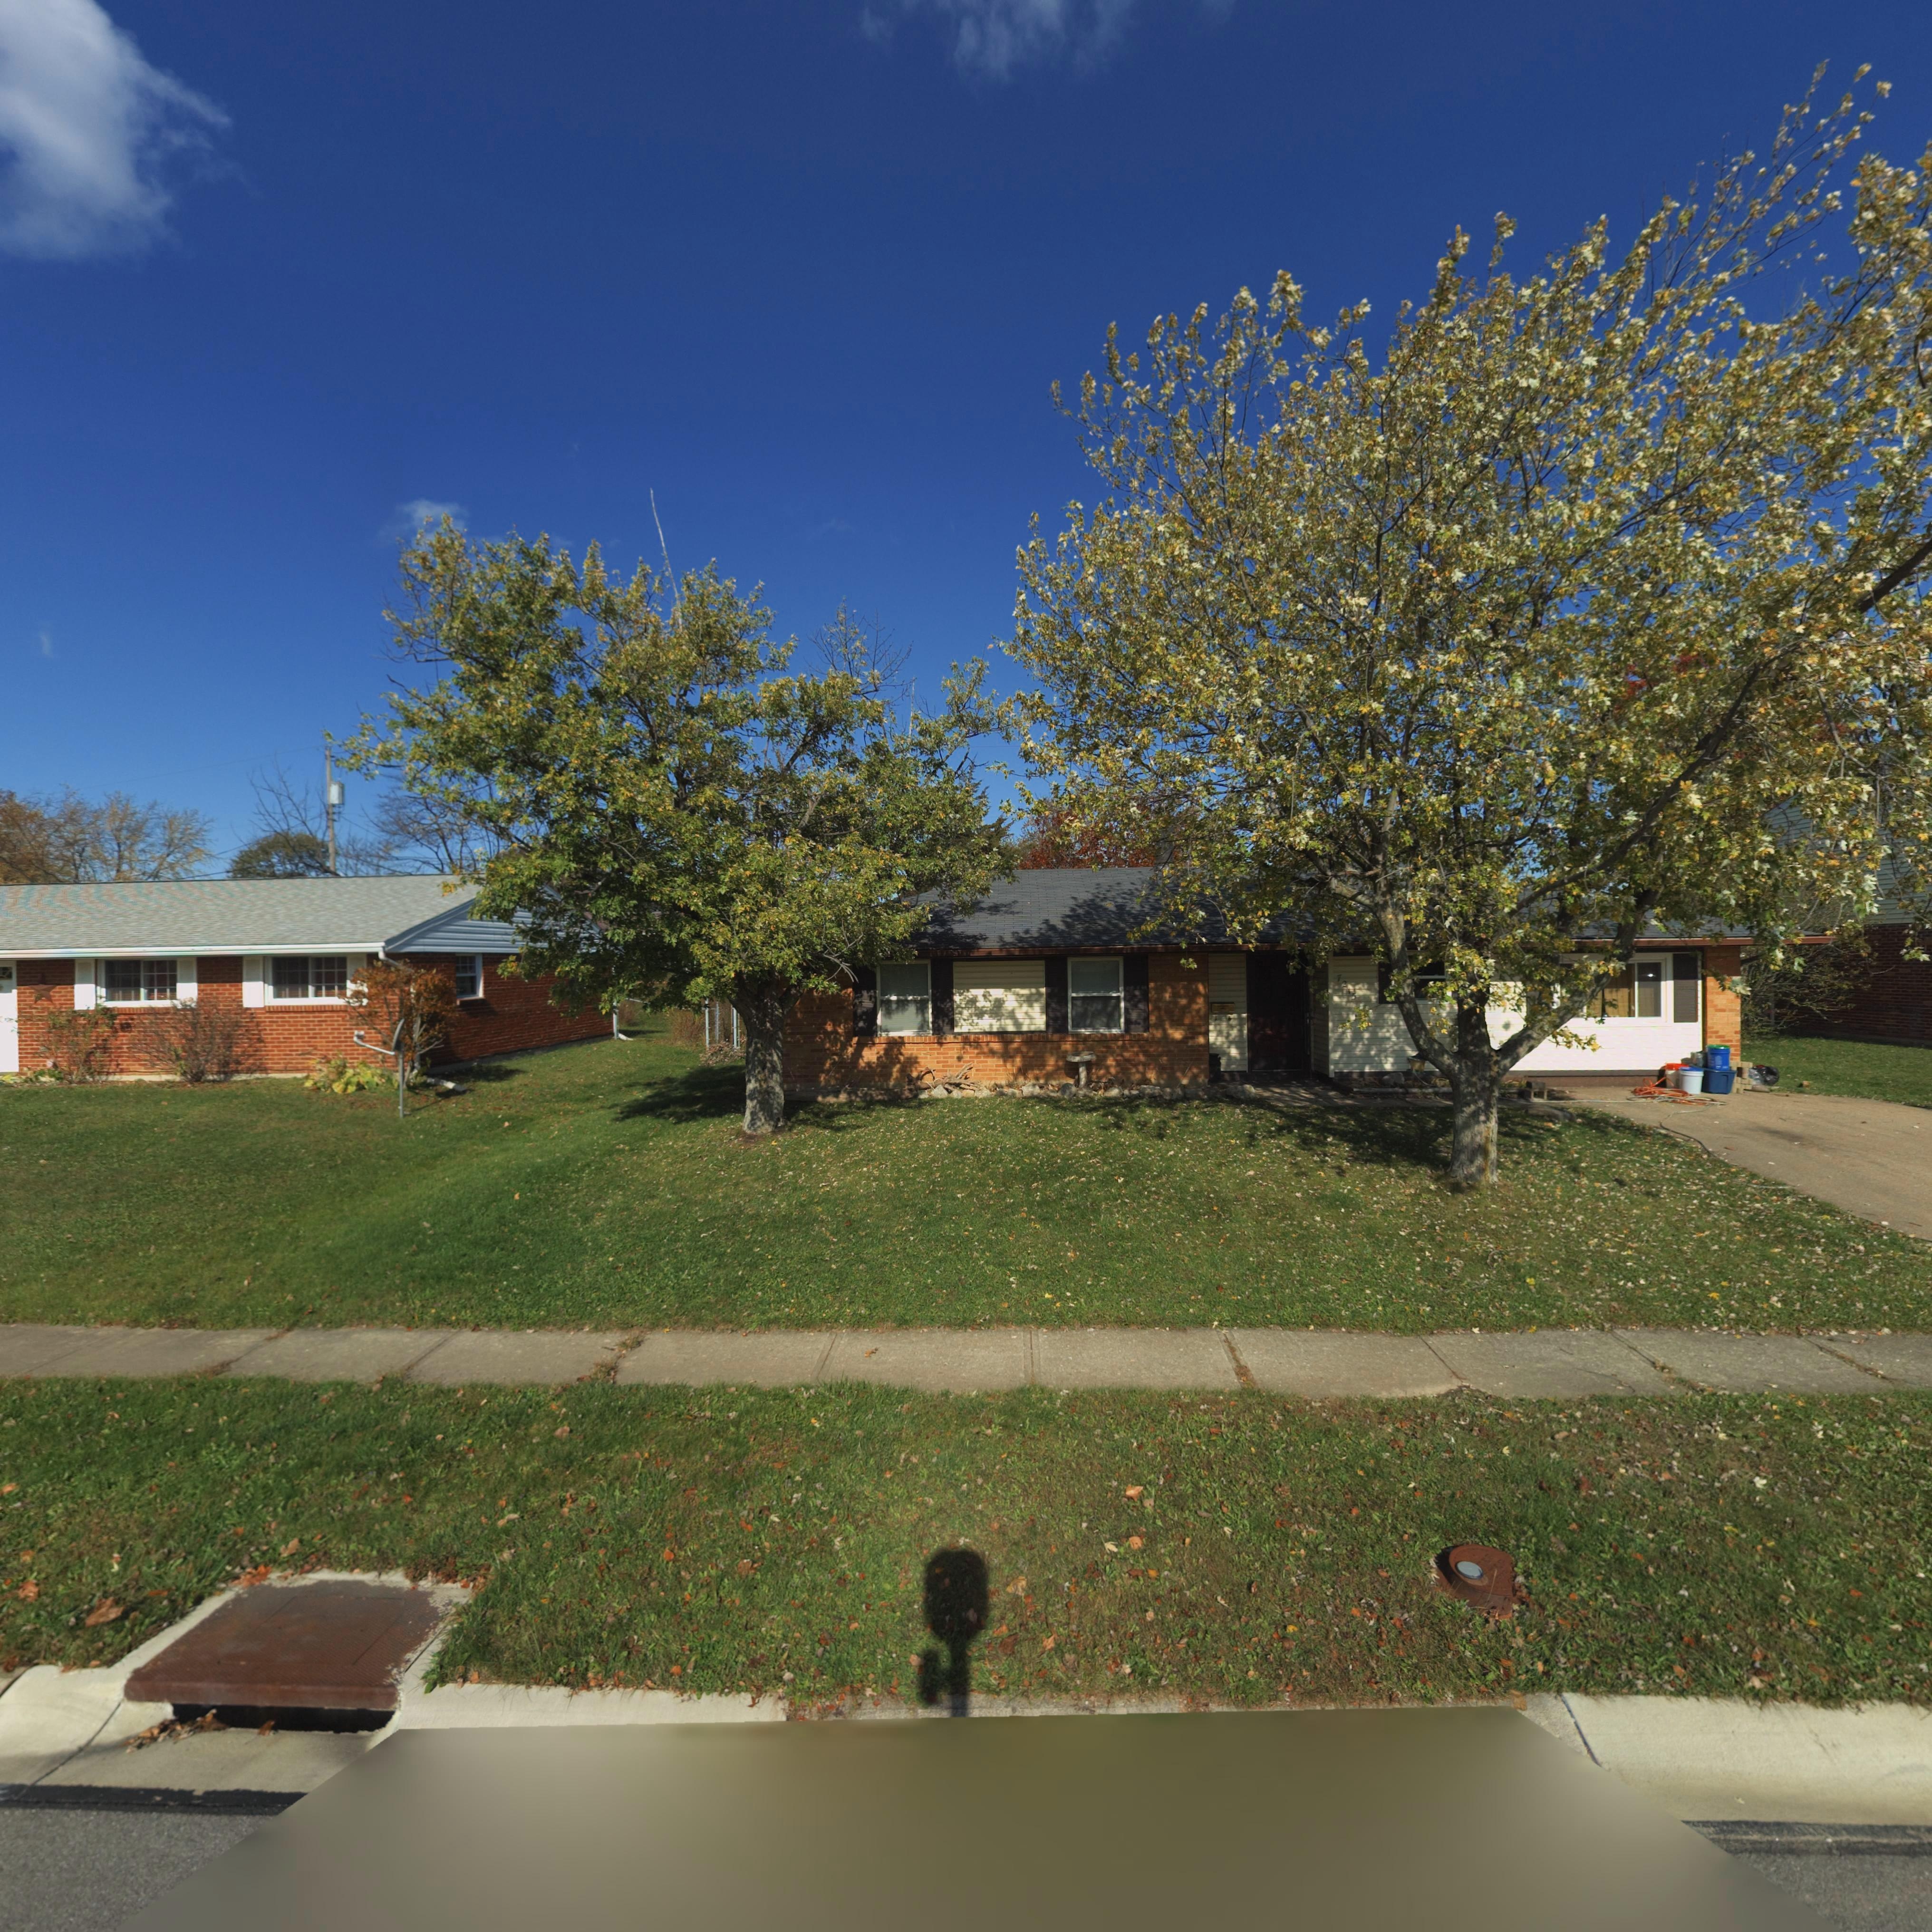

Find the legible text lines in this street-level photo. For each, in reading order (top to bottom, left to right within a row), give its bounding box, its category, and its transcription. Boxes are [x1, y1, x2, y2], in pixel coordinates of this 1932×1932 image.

[1336, 973, 1358, 1001] StreetNumber: 72*5